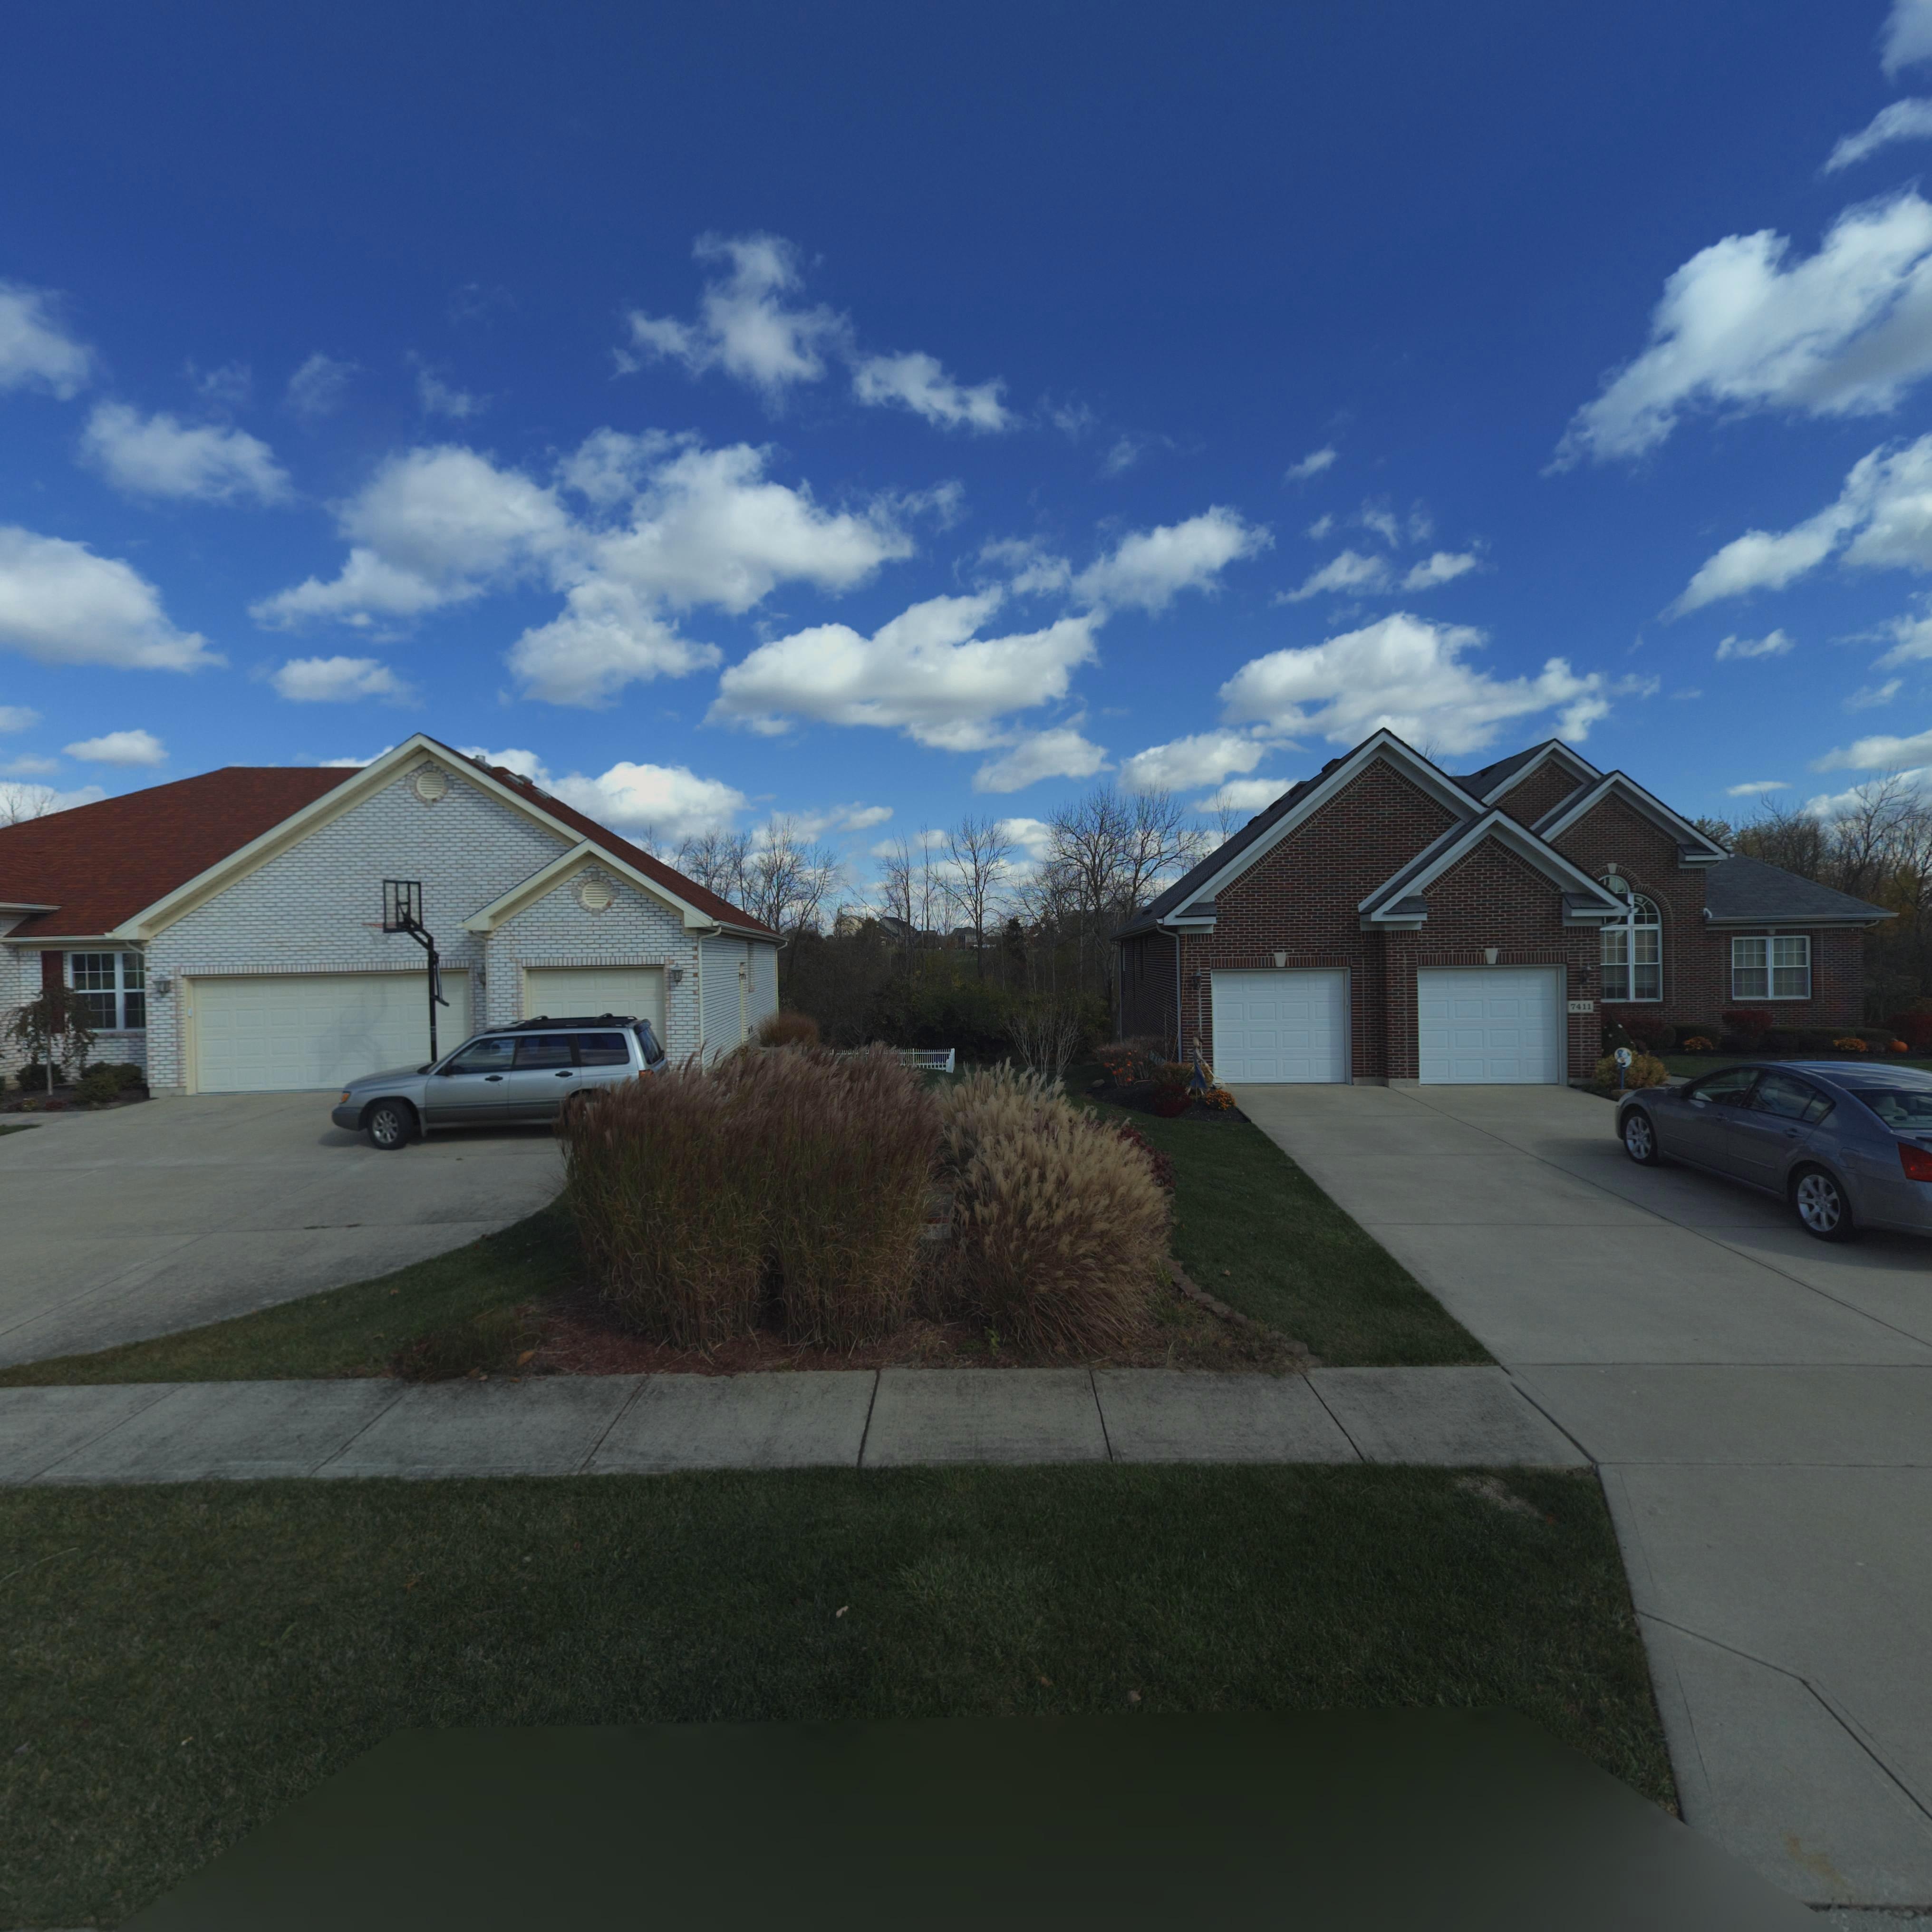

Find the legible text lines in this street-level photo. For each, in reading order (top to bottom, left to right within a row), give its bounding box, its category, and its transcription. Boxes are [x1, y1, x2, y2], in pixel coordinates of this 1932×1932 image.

[1570, 1003, 1592, 1011] StreetNumber: 7411